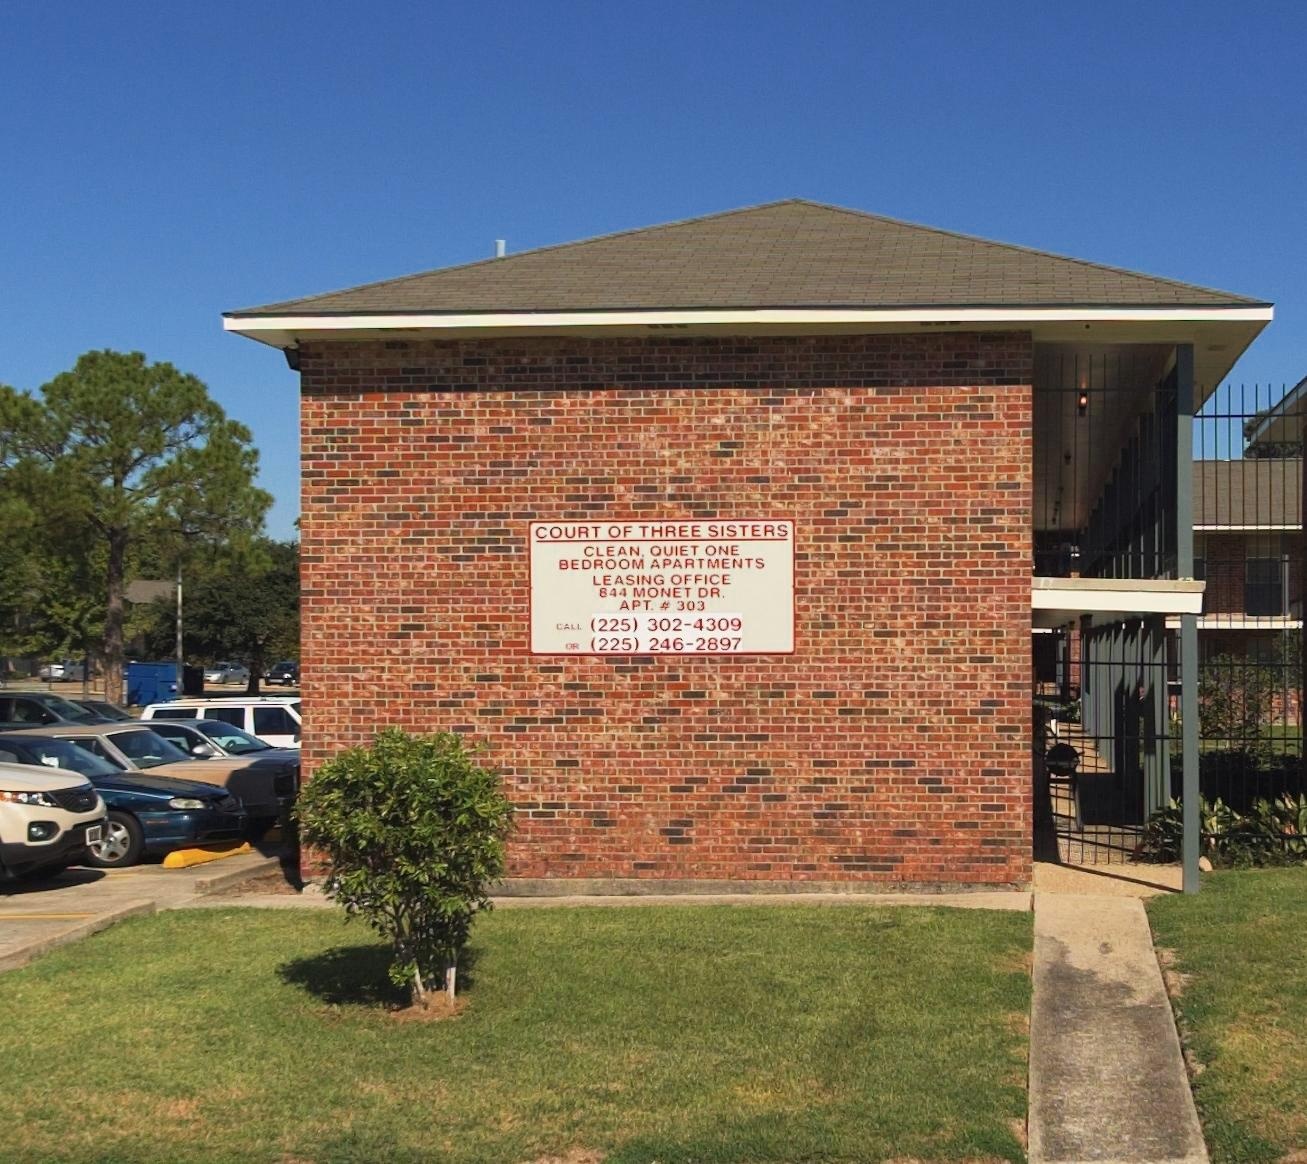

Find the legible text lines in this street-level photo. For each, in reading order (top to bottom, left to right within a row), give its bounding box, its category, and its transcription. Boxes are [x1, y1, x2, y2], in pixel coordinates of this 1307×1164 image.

[533, 521, 790, 541] BusinessName: COURTS OF THREE SISTERS
[580, 542, 743, 559] None: CLEAN, QUIET ONE
[557, 555, 768, 573] None: BEDROOM APARTMENTS
[590, 572, 734, 588] None: LEASEING OFFICE
[597, 584, 632, 599] StreetNumber: 844
[631, 584, 728, 603] StreetName: MONET DR.
[615, 598, 708, 613] SecondaryUnitDesignator: APT.# 303
[552, 620, 585, 634] None: CALL.
[588, 614, 745, 635] None: (225) 302-4309
[560, 639, 583, 654] None: OR
[586, 634, 745, 655] None: (225) 246-2897